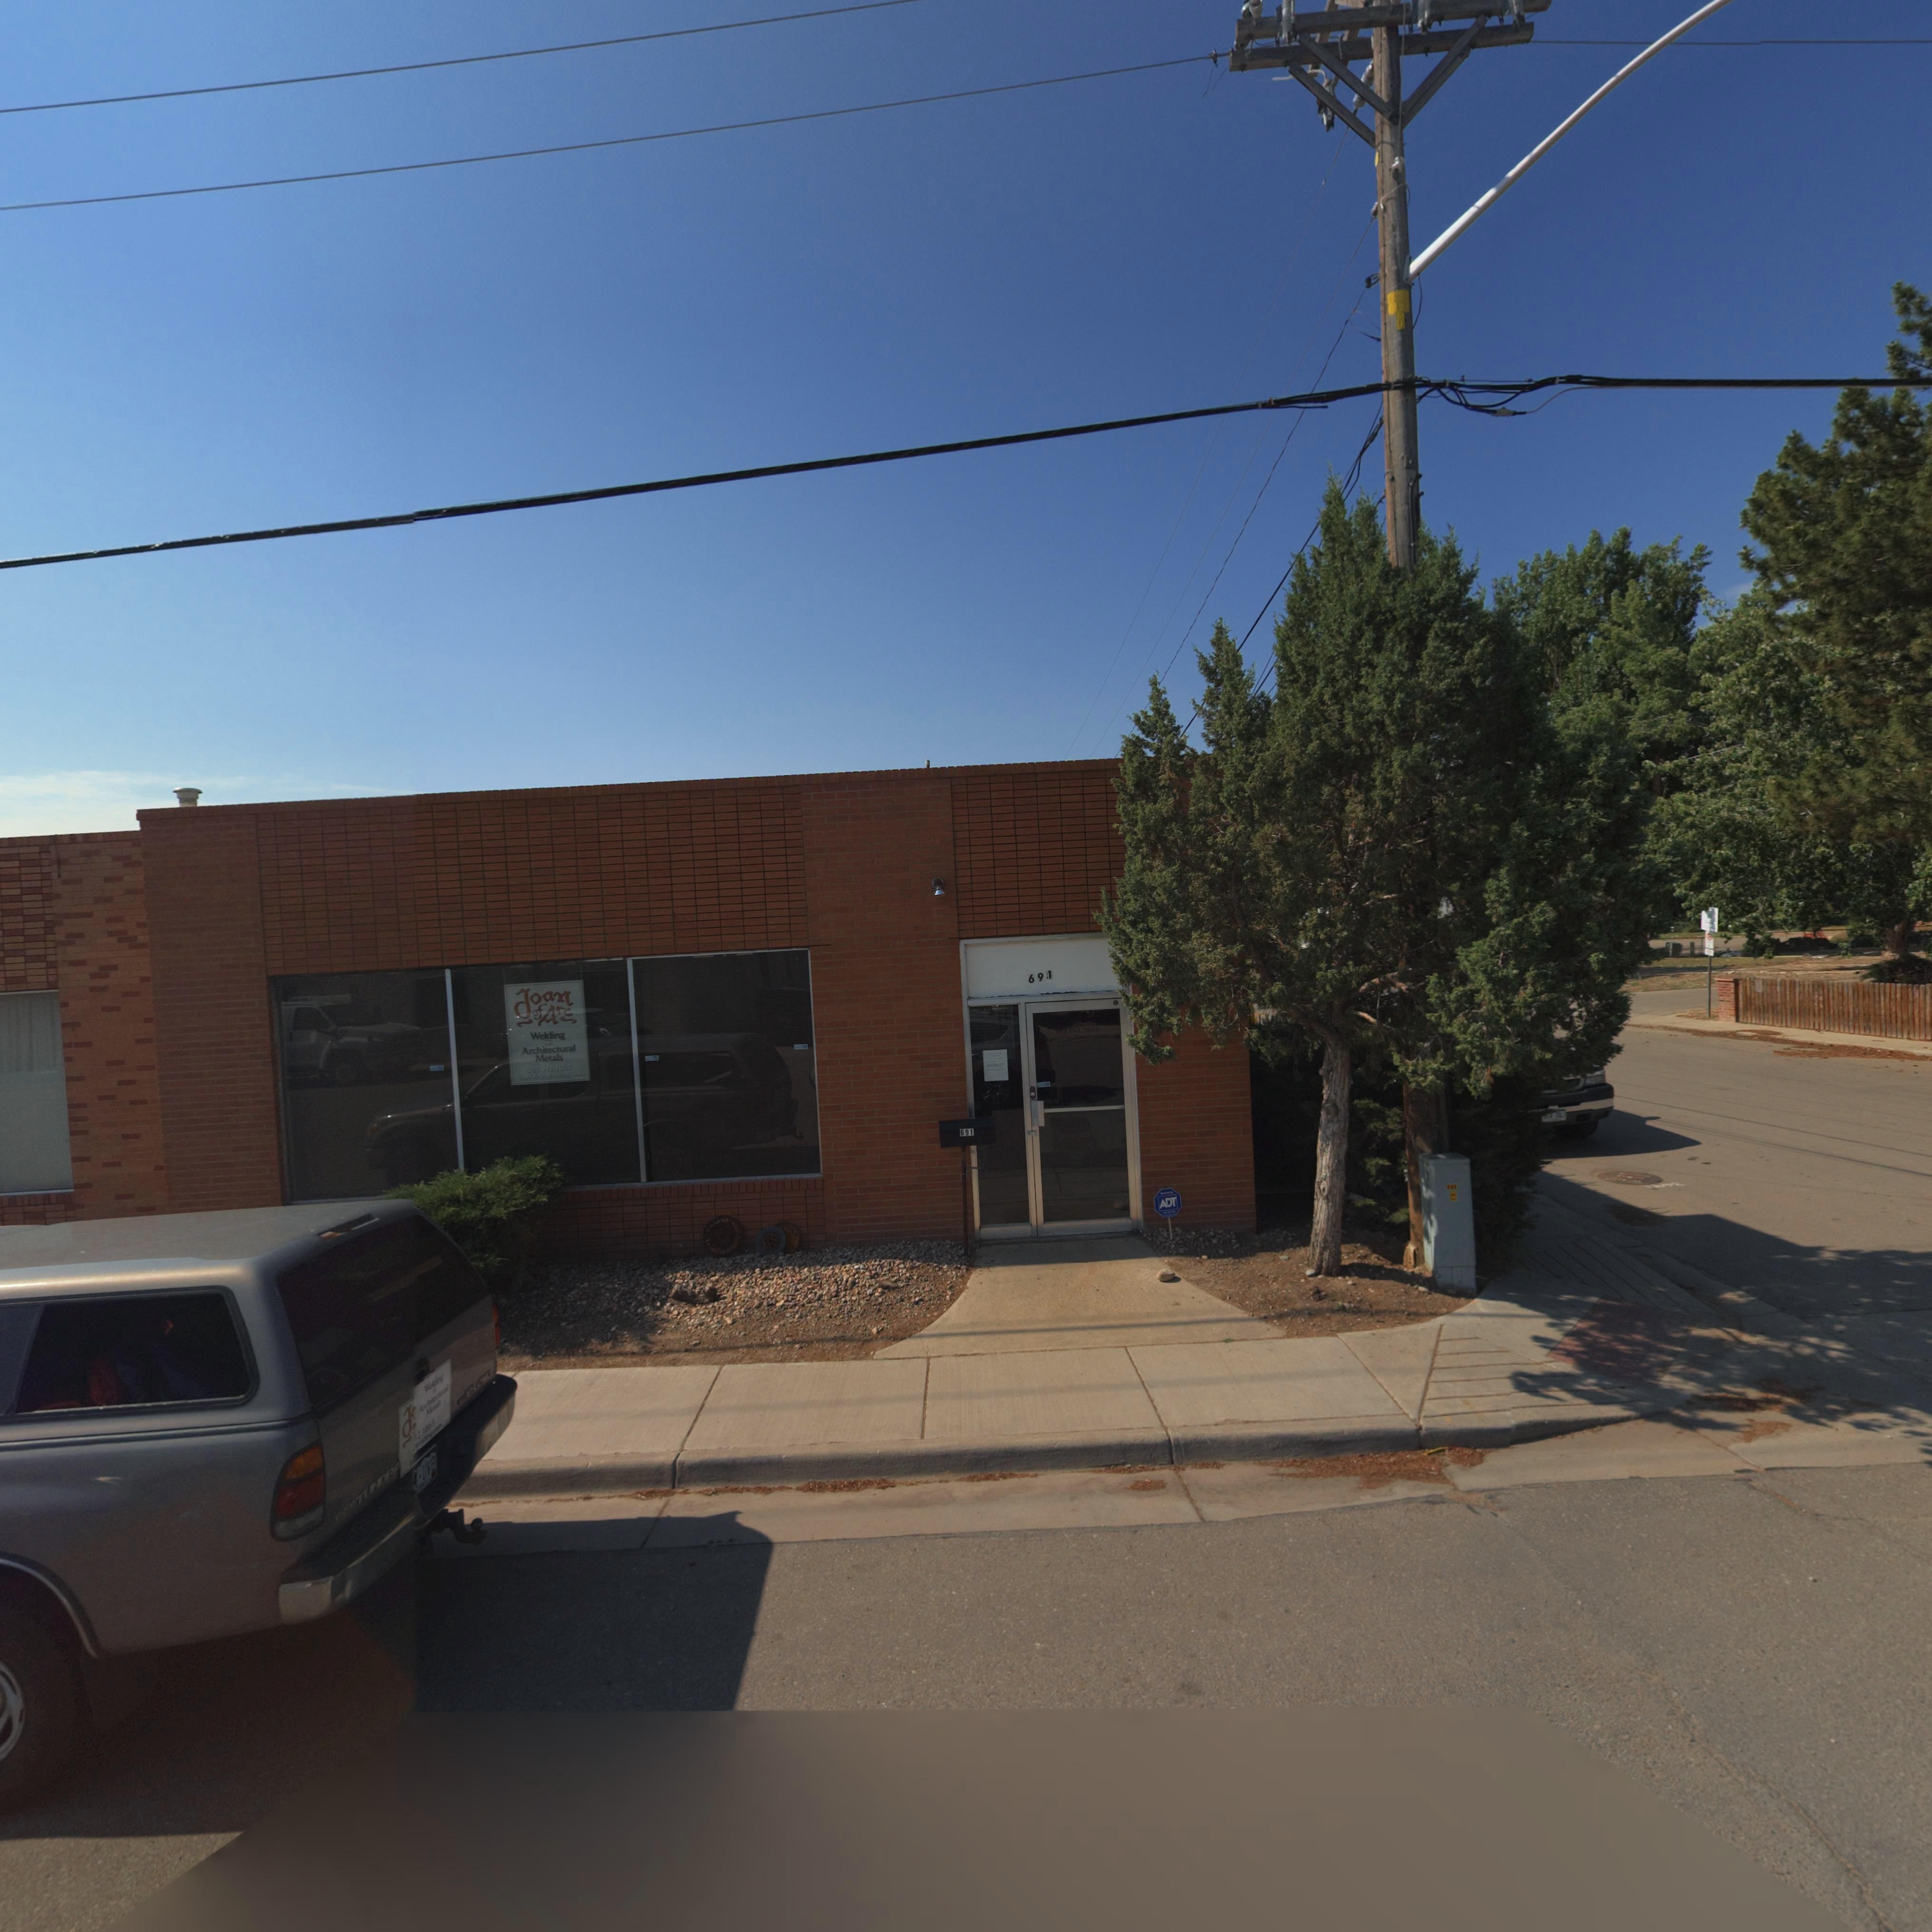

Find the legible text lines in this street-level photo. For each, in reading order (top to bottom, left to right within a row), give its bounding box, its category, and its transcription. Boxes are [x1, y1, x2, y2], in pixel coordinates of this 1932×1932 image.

[1028, 969, 1052, 984] StreetNumber: 691
[512, 987, 575, 1020] BusinessName: Joan
[532, 1002, 575, 1027] BusinessName: of Arc
[960, 1129, 973, 1136] StreetNumber: 691